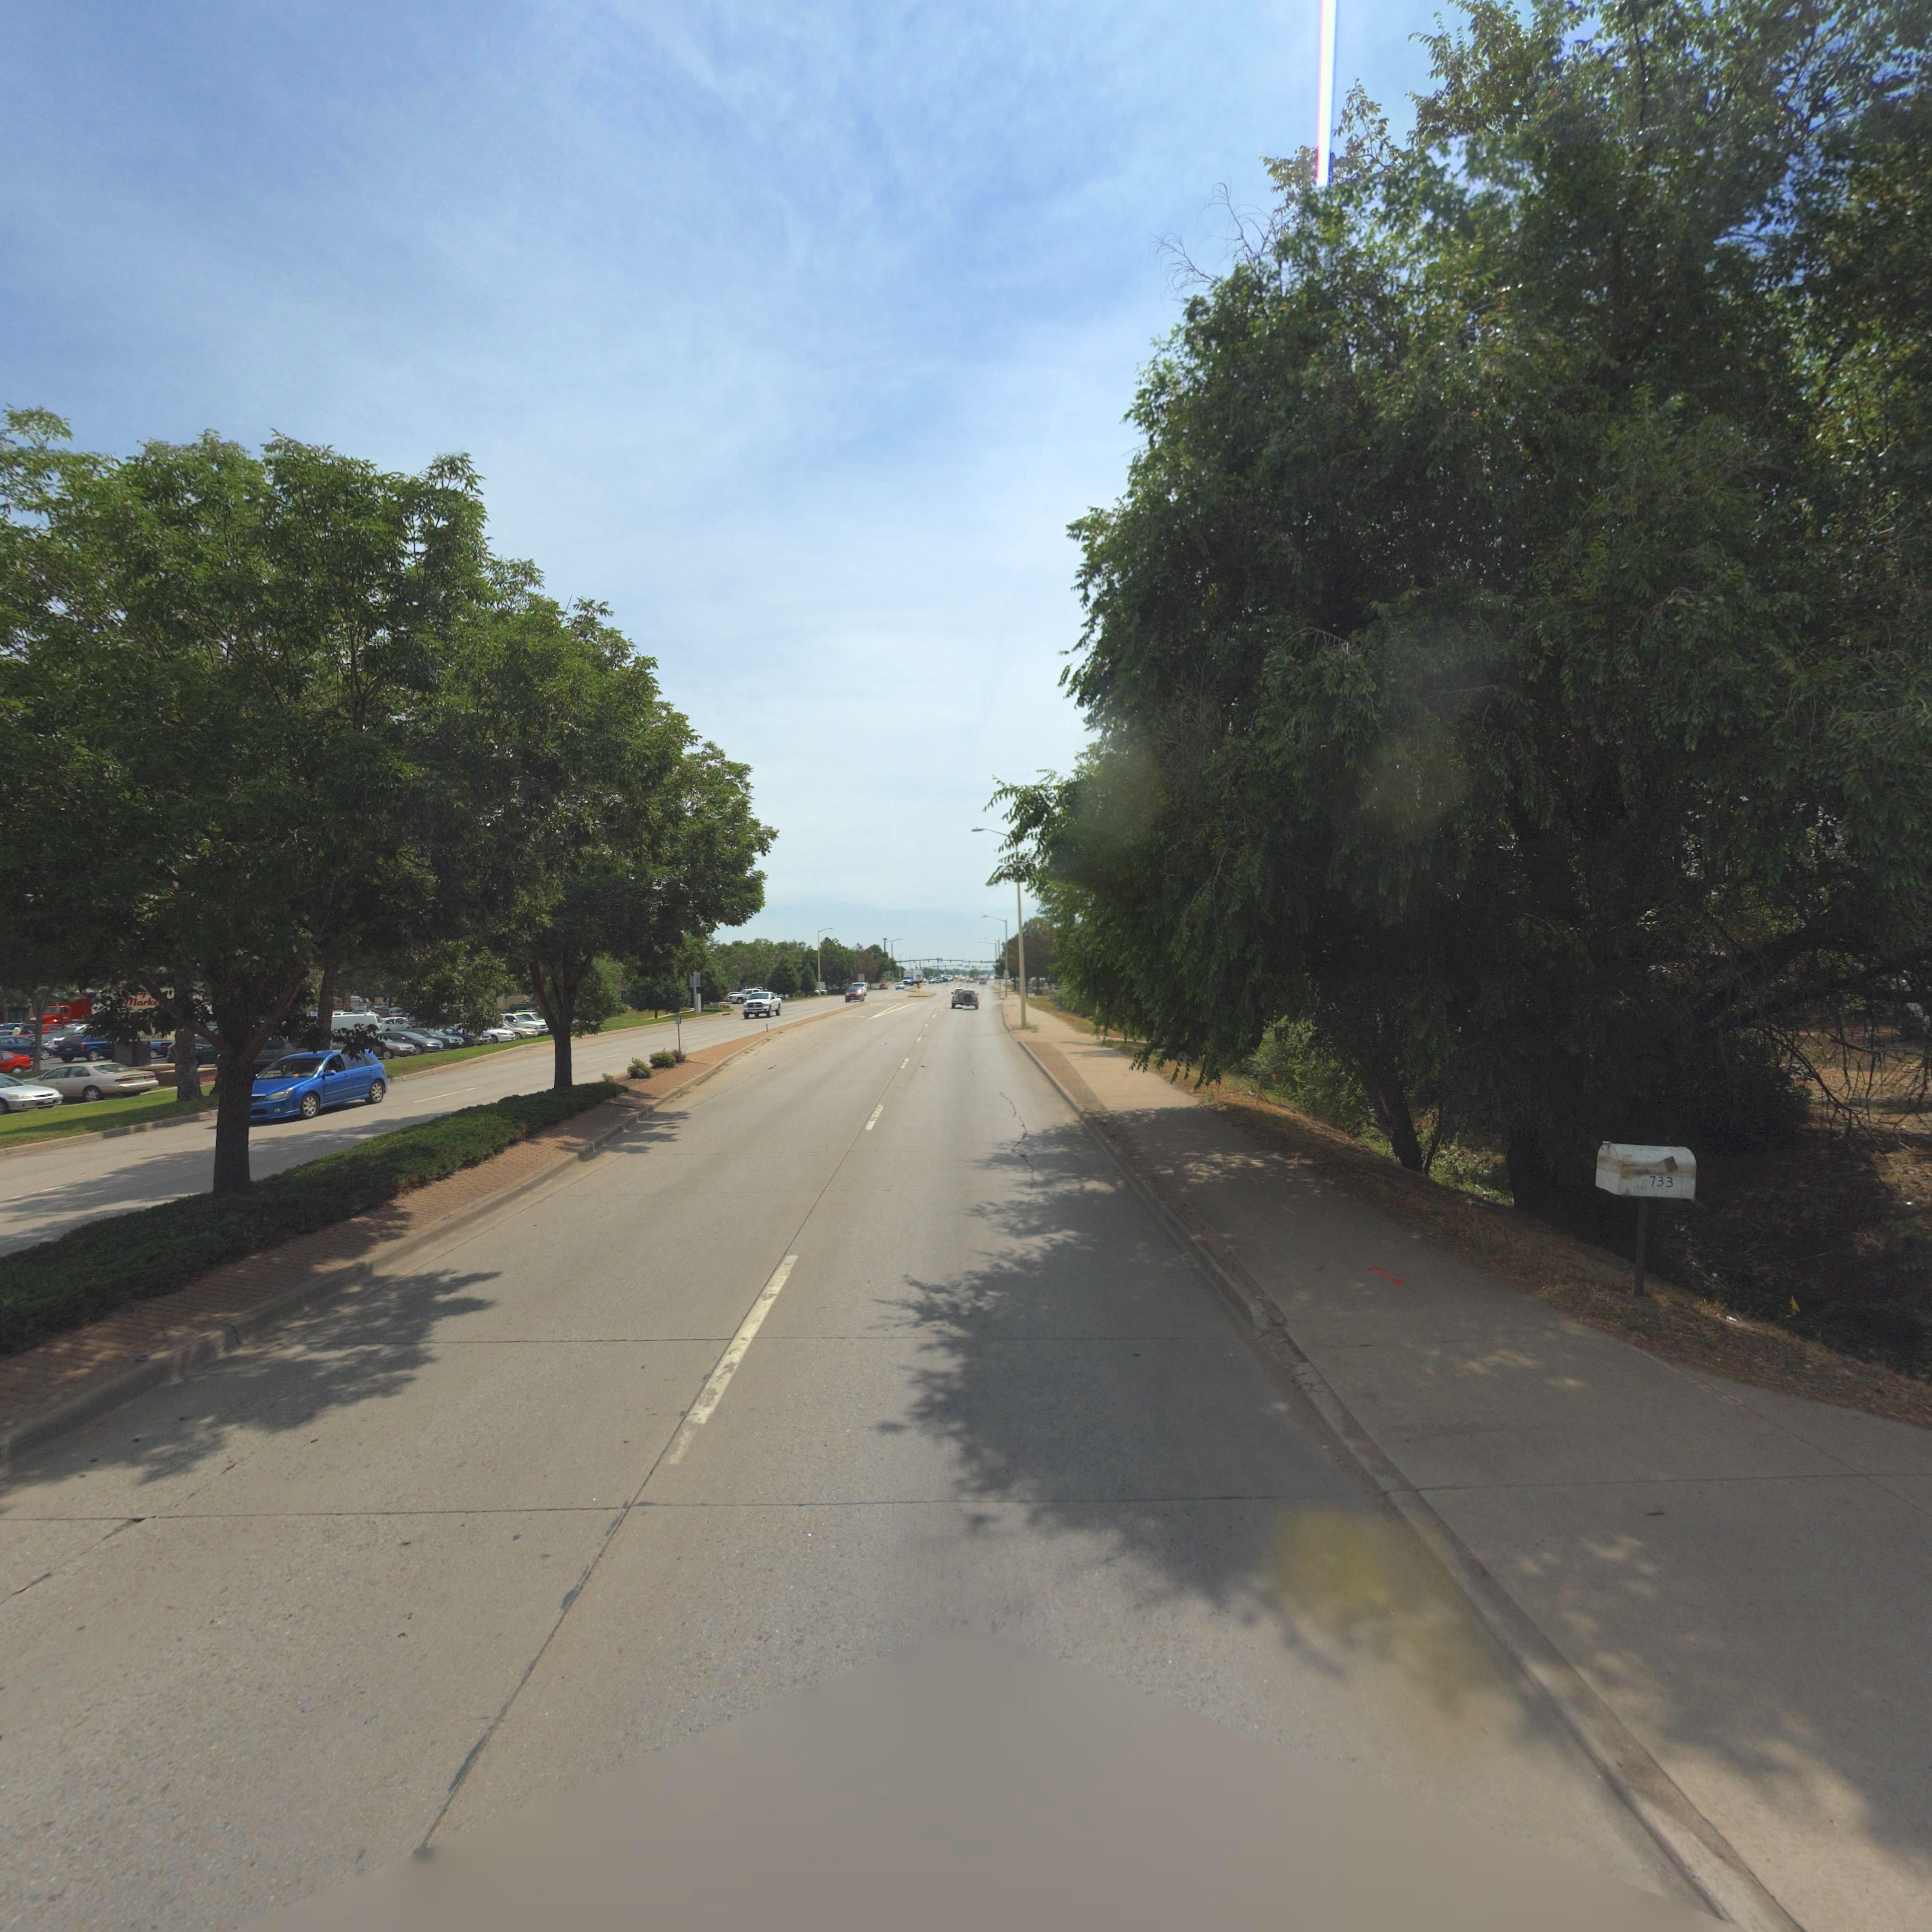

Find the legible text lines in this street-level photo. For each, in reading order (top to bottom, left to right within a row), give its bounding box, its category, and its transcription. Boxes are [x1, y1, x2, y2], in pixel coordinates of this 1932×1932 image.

[123, 996, 160, 1007] BusinessName: Mark*
[1650, 1175, 1673, 1188] StreetNumber: 733